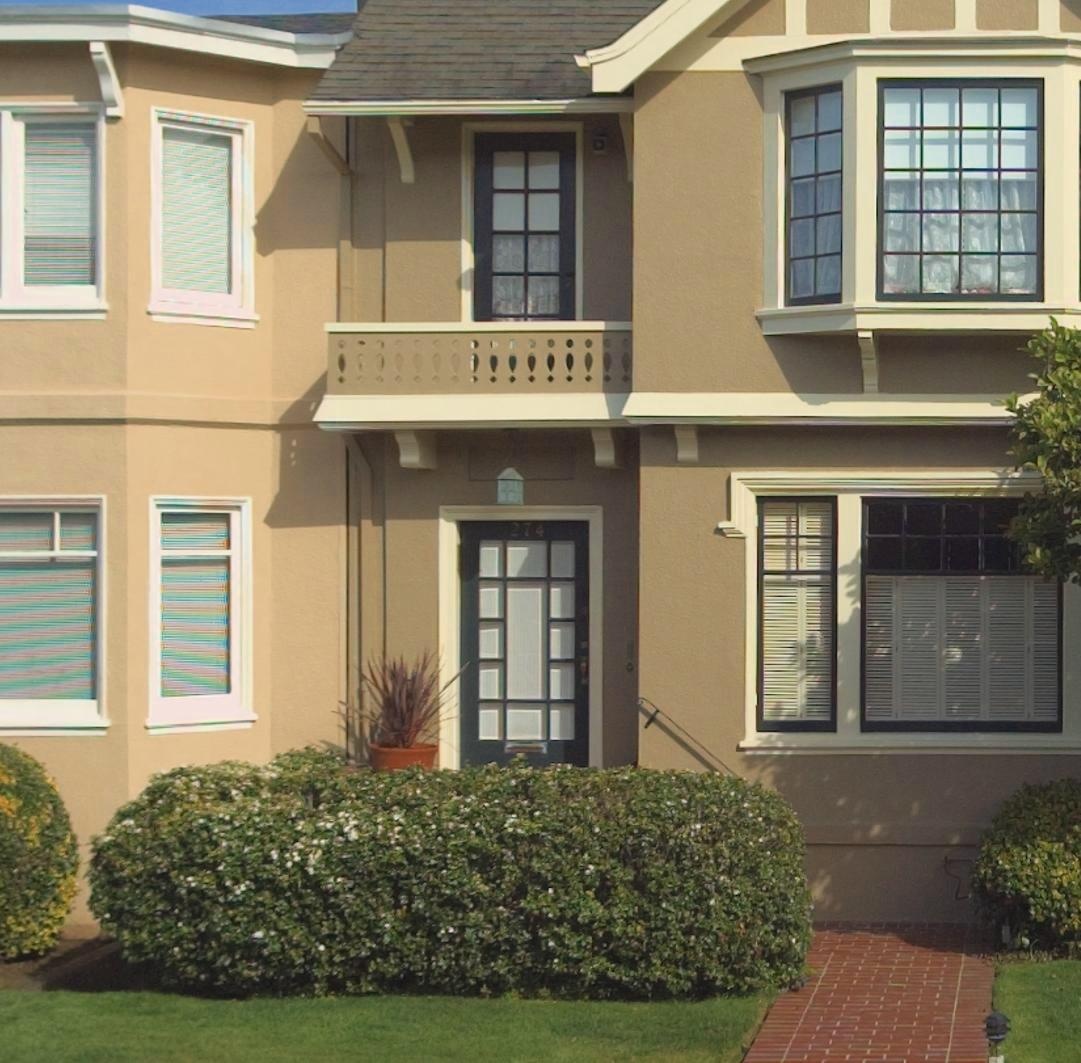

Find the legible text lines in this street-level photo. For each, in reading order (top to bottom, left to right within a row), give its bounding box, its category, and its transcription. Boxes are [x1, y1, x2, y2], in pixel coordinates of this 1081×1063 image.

[509, 520, 546, 539] StreetNumber: 274